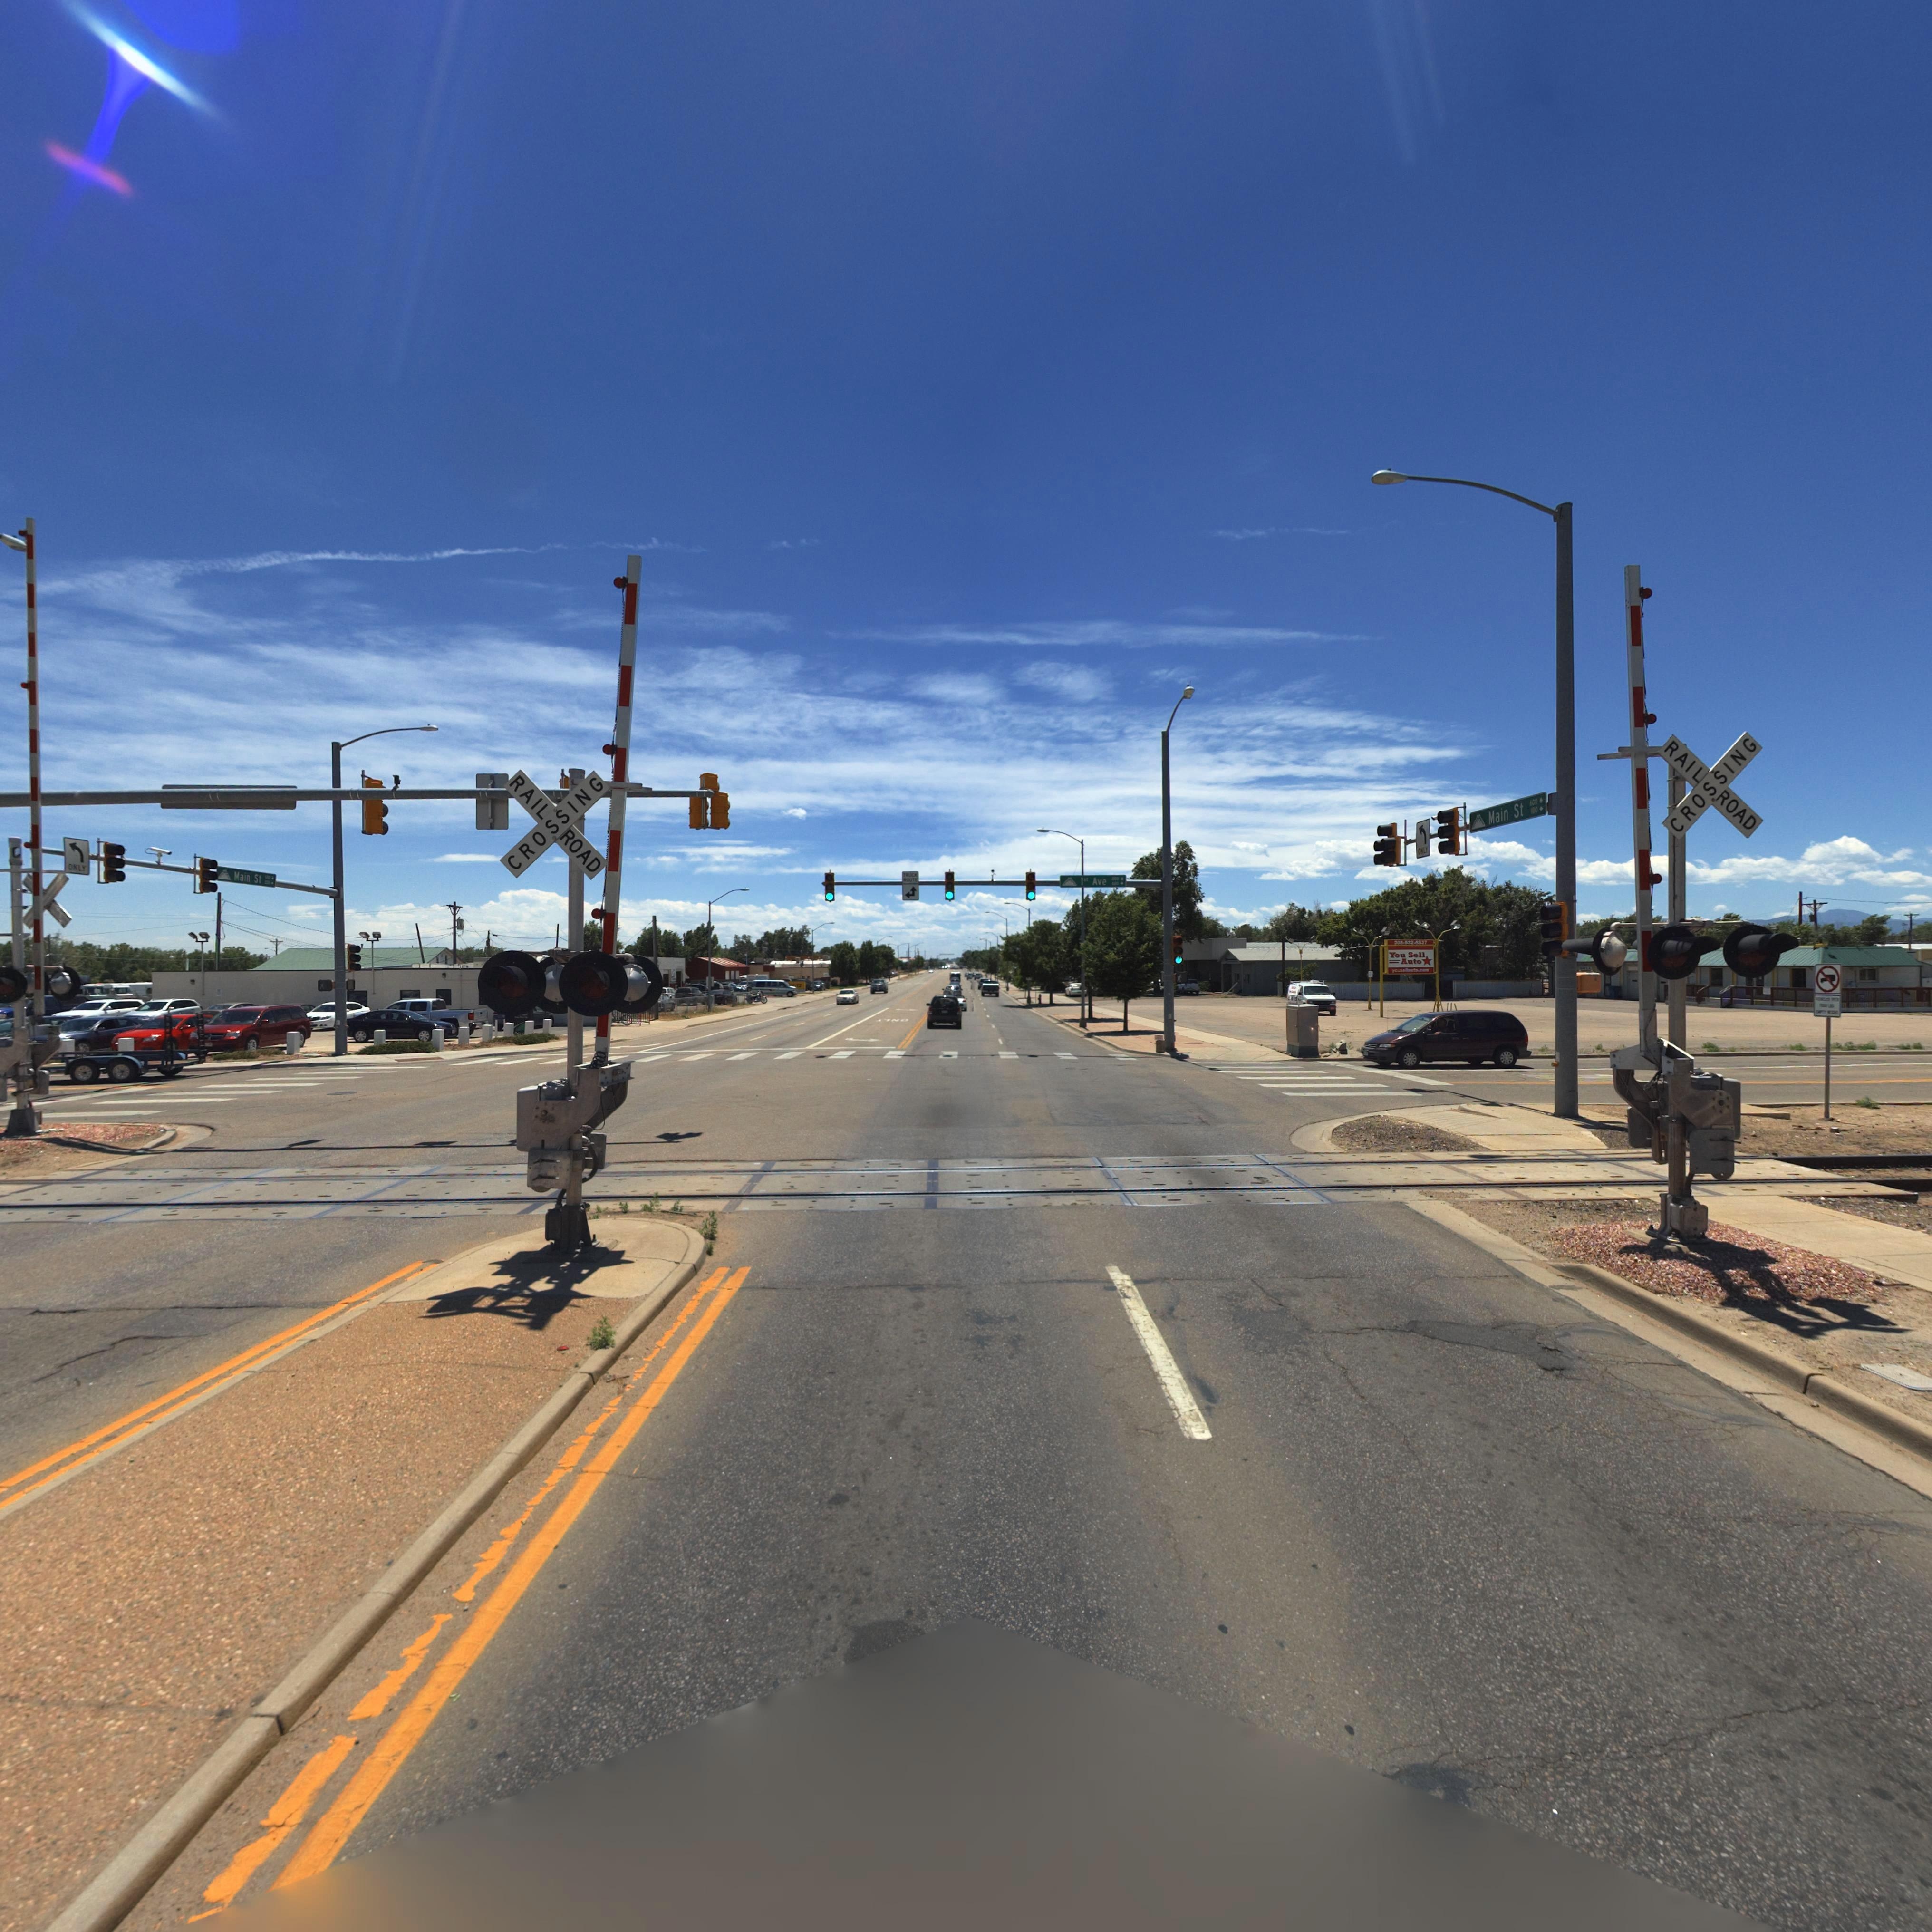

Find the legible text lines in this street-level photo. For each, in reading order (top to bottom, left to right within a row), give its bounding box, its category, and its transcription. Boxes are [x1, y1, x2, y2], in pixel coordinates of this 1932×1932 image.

[1529, 797, 1538, 806] StreetNumberRange: *00
[1487, 801, 1525, 825] StreetName: Main St
[1530, 805, 1544, 814] StreetNumberRange: *00->
[233, 870, 261, 884] StreetNumber: Main St
[1078, 877, 1107, 886] StreetName: 1st Ave
[1389, 952, 1425, 958] BusinessName: You Sell
[1400, 958, 1422, 965] BusinessName: Auto